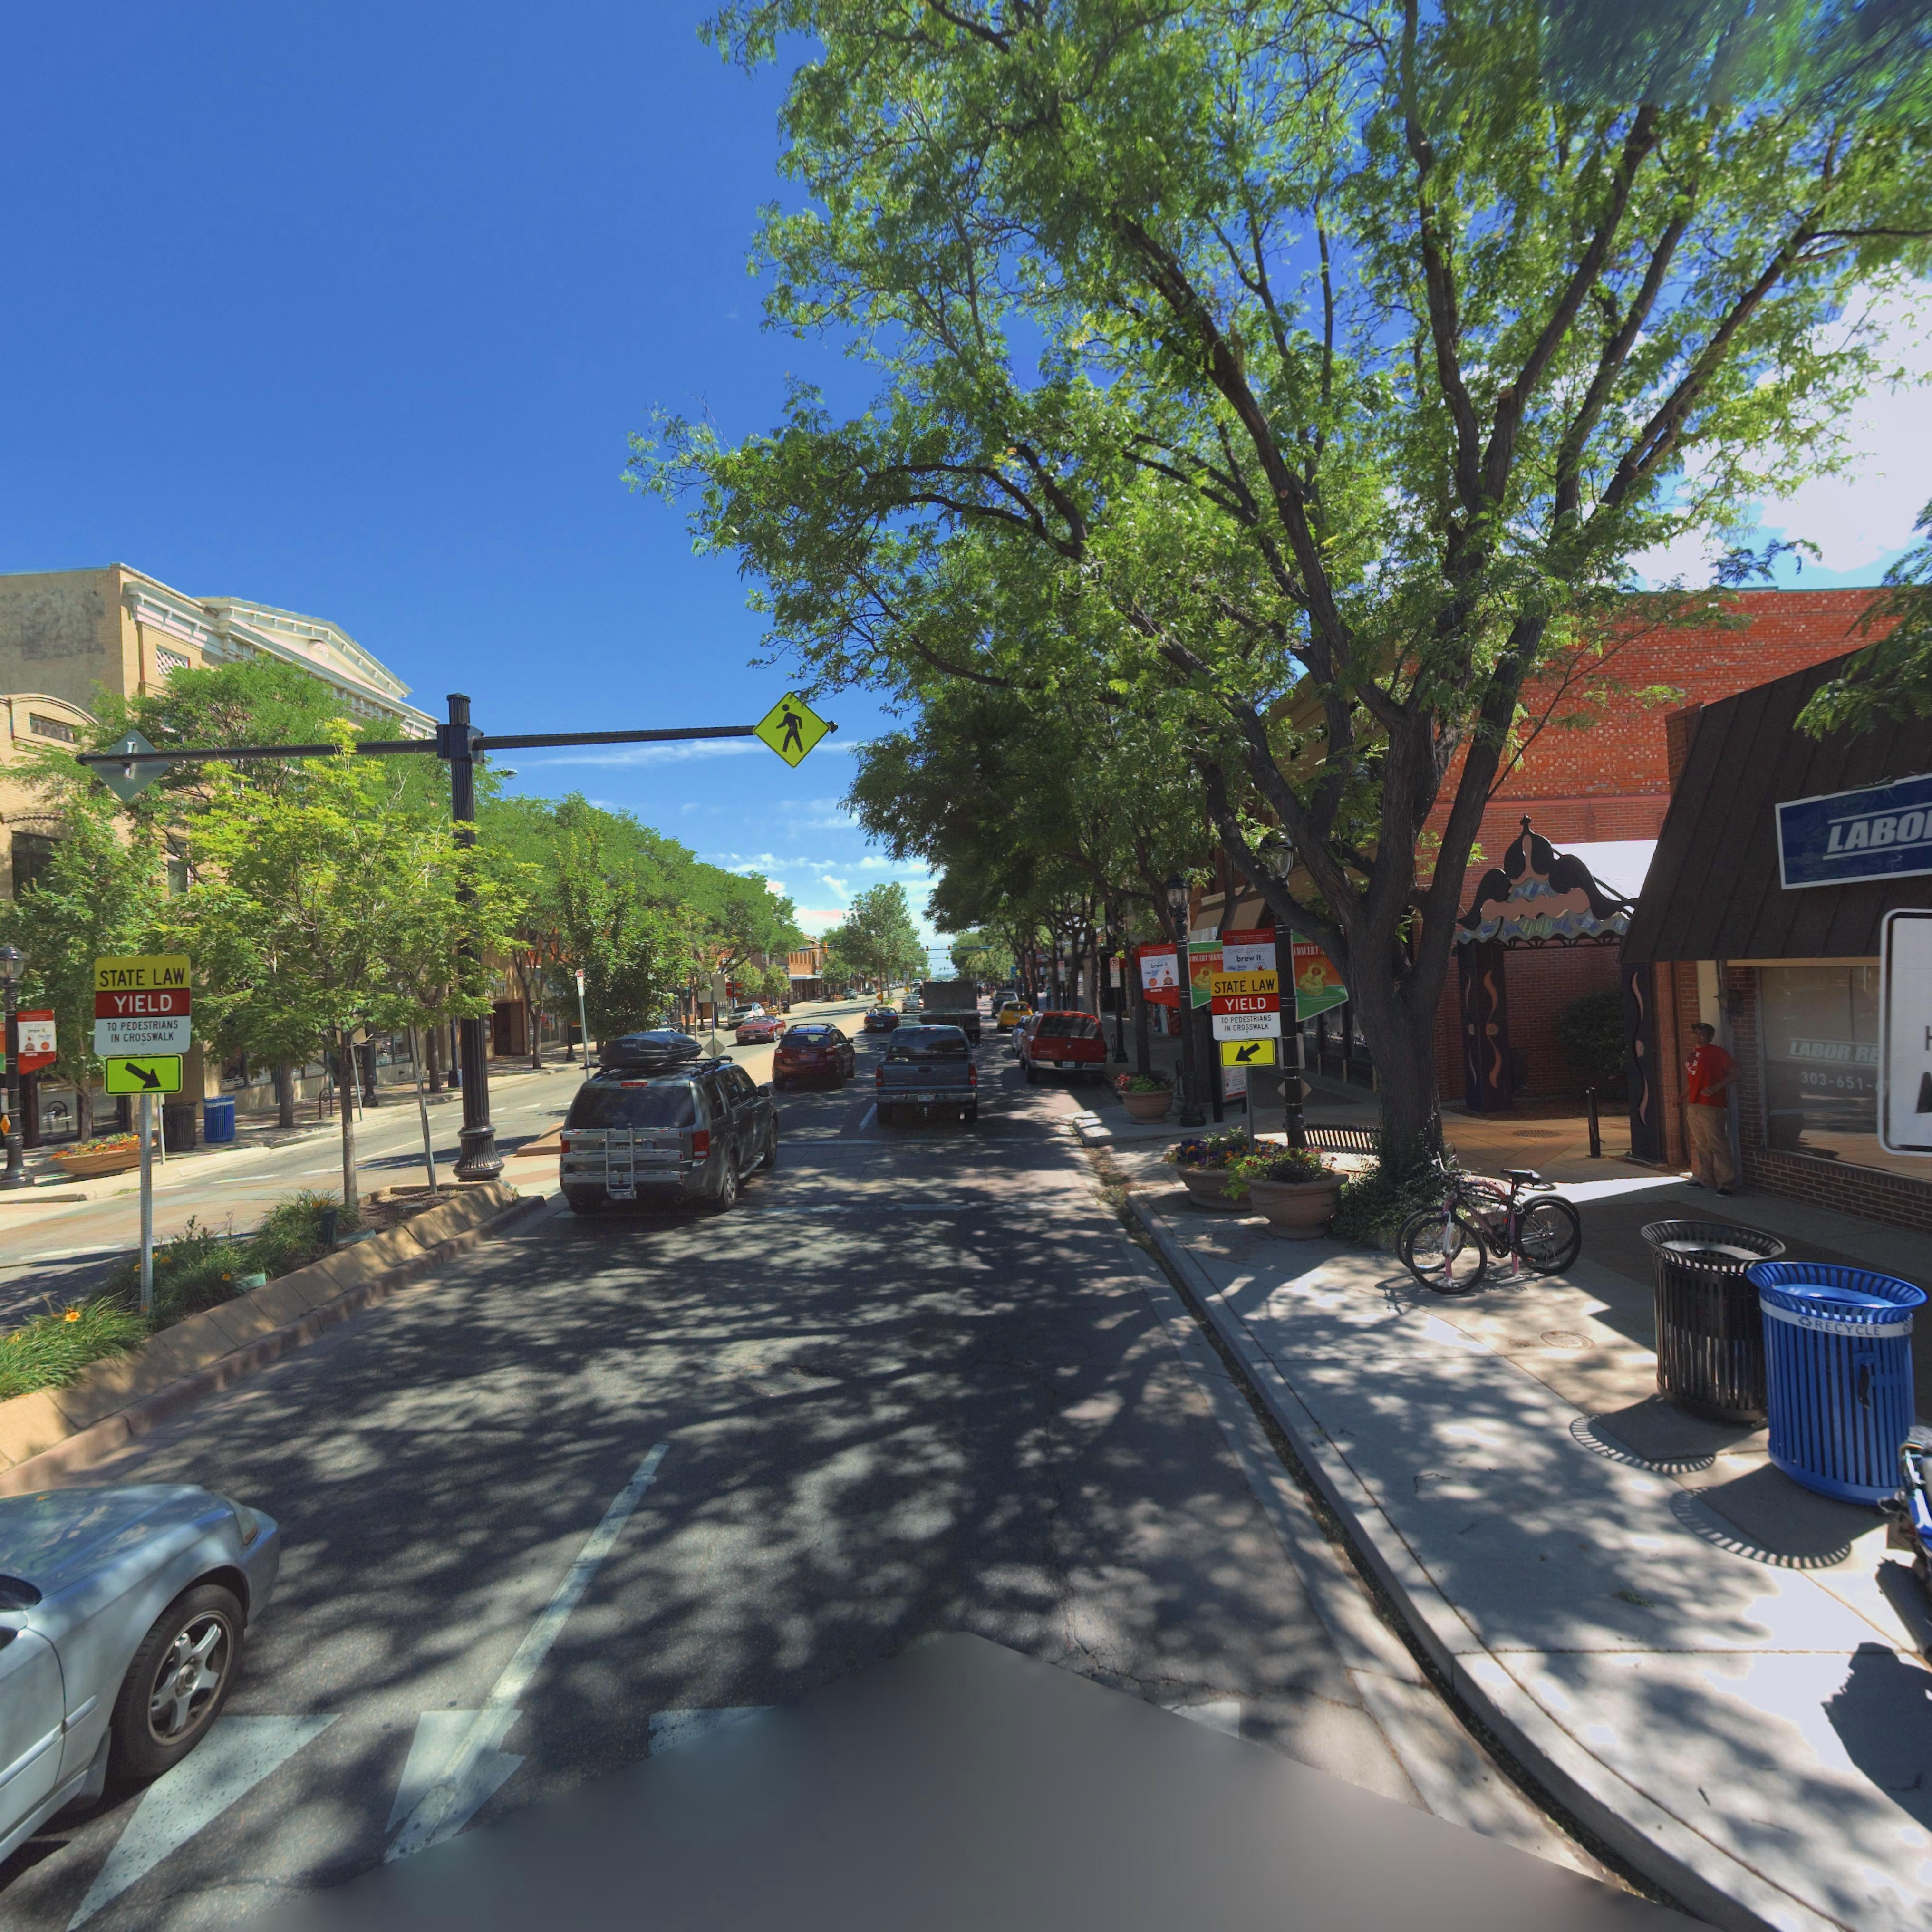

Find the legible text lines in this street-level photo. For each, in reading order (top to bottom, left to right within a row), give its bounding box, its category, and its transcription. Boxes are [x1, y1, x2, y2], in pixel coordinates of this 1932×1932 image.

[1826, 809, 1928, 853] BusinessName: LABO
[1787, 1040, 1871, 1063] BusinessName: LABOR R